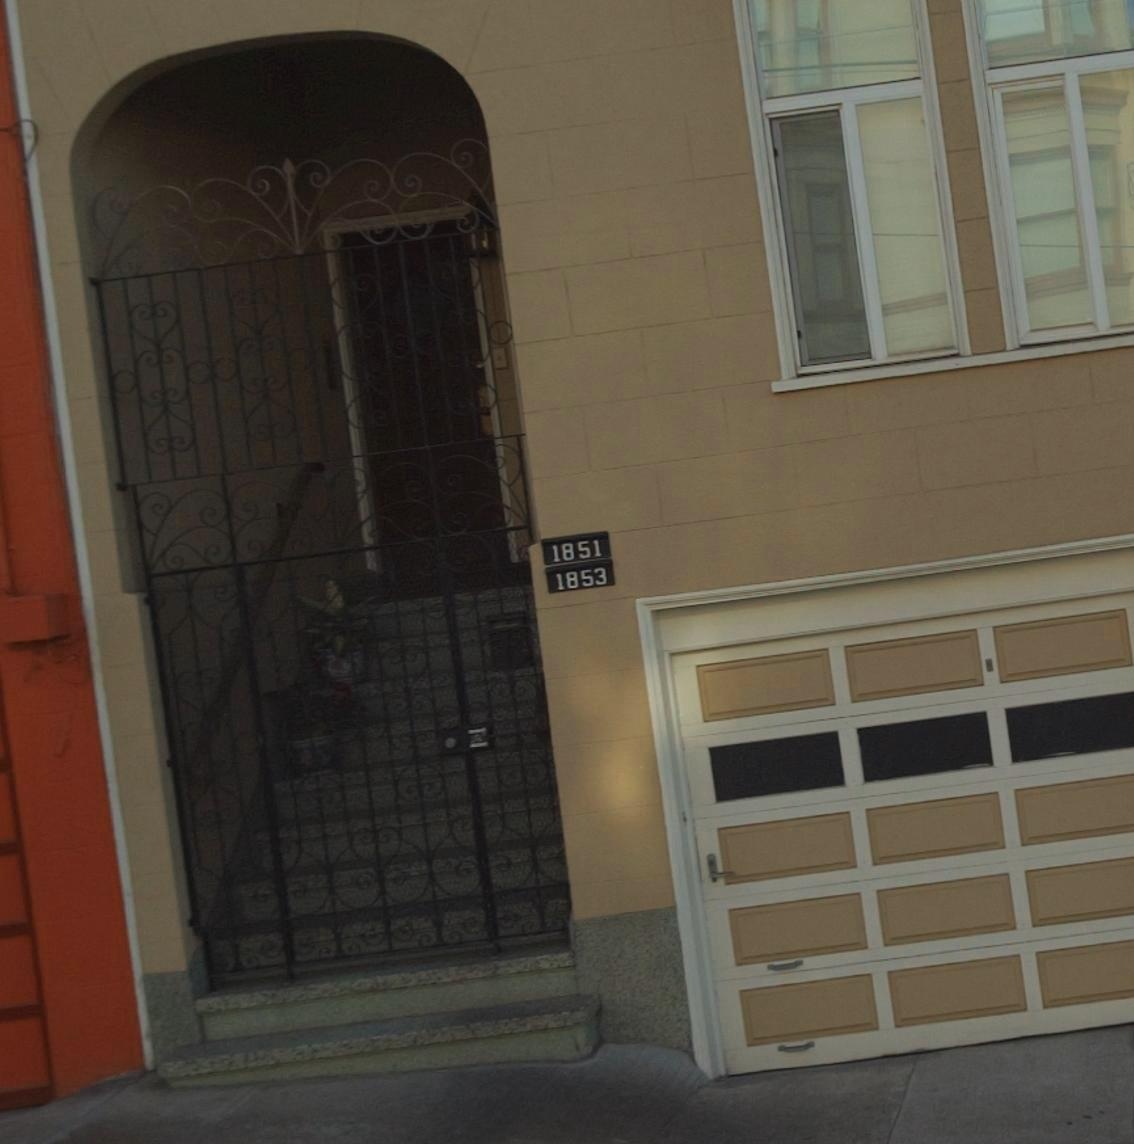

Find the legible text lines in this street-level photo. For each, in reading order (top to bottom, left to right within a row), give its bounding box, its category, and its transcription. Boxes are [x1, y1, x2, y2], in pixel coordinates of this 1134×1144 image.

[550, 535, 605, 565] StreetNumber: 1851
[554, 564, 609, 592] StreetNumber: 1853